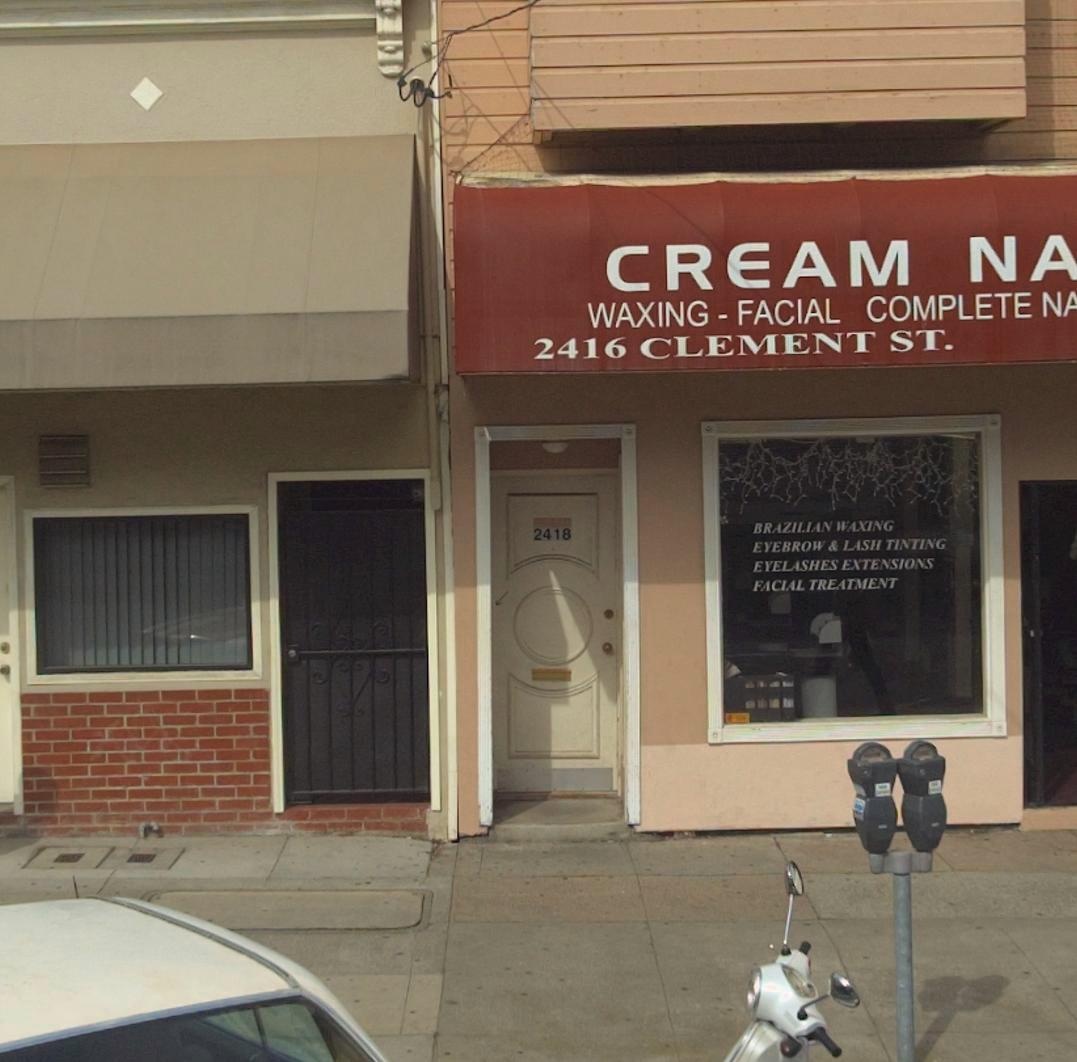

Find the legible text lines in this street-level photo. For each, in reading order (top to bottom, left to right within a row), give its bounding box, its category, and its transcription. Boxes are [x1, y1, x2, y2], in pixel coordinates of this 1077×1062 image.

[602, 230, 1077, 299] BusinessName: CREAM NA
[582, 289, 1064, 331] None: WAXING-FACIAL COMPLETE N
[530, 334, 631, 363] StreetNumber: 2416
[637, 326, 957, 364] StreetName: CLEMENT ST.
[531, 525, 574, 543] StreetNumber: 2418
[750, 518, 897, 536] None: BRIZILAIN WAXING
[749, 535, 949, 556] None: EYEBROW & LASH TINTING
[750, 555, 937, 574] None: EYELASHES EXTENSIONS
[749, 576, 900, 595] None: FACIAL TREATMENT